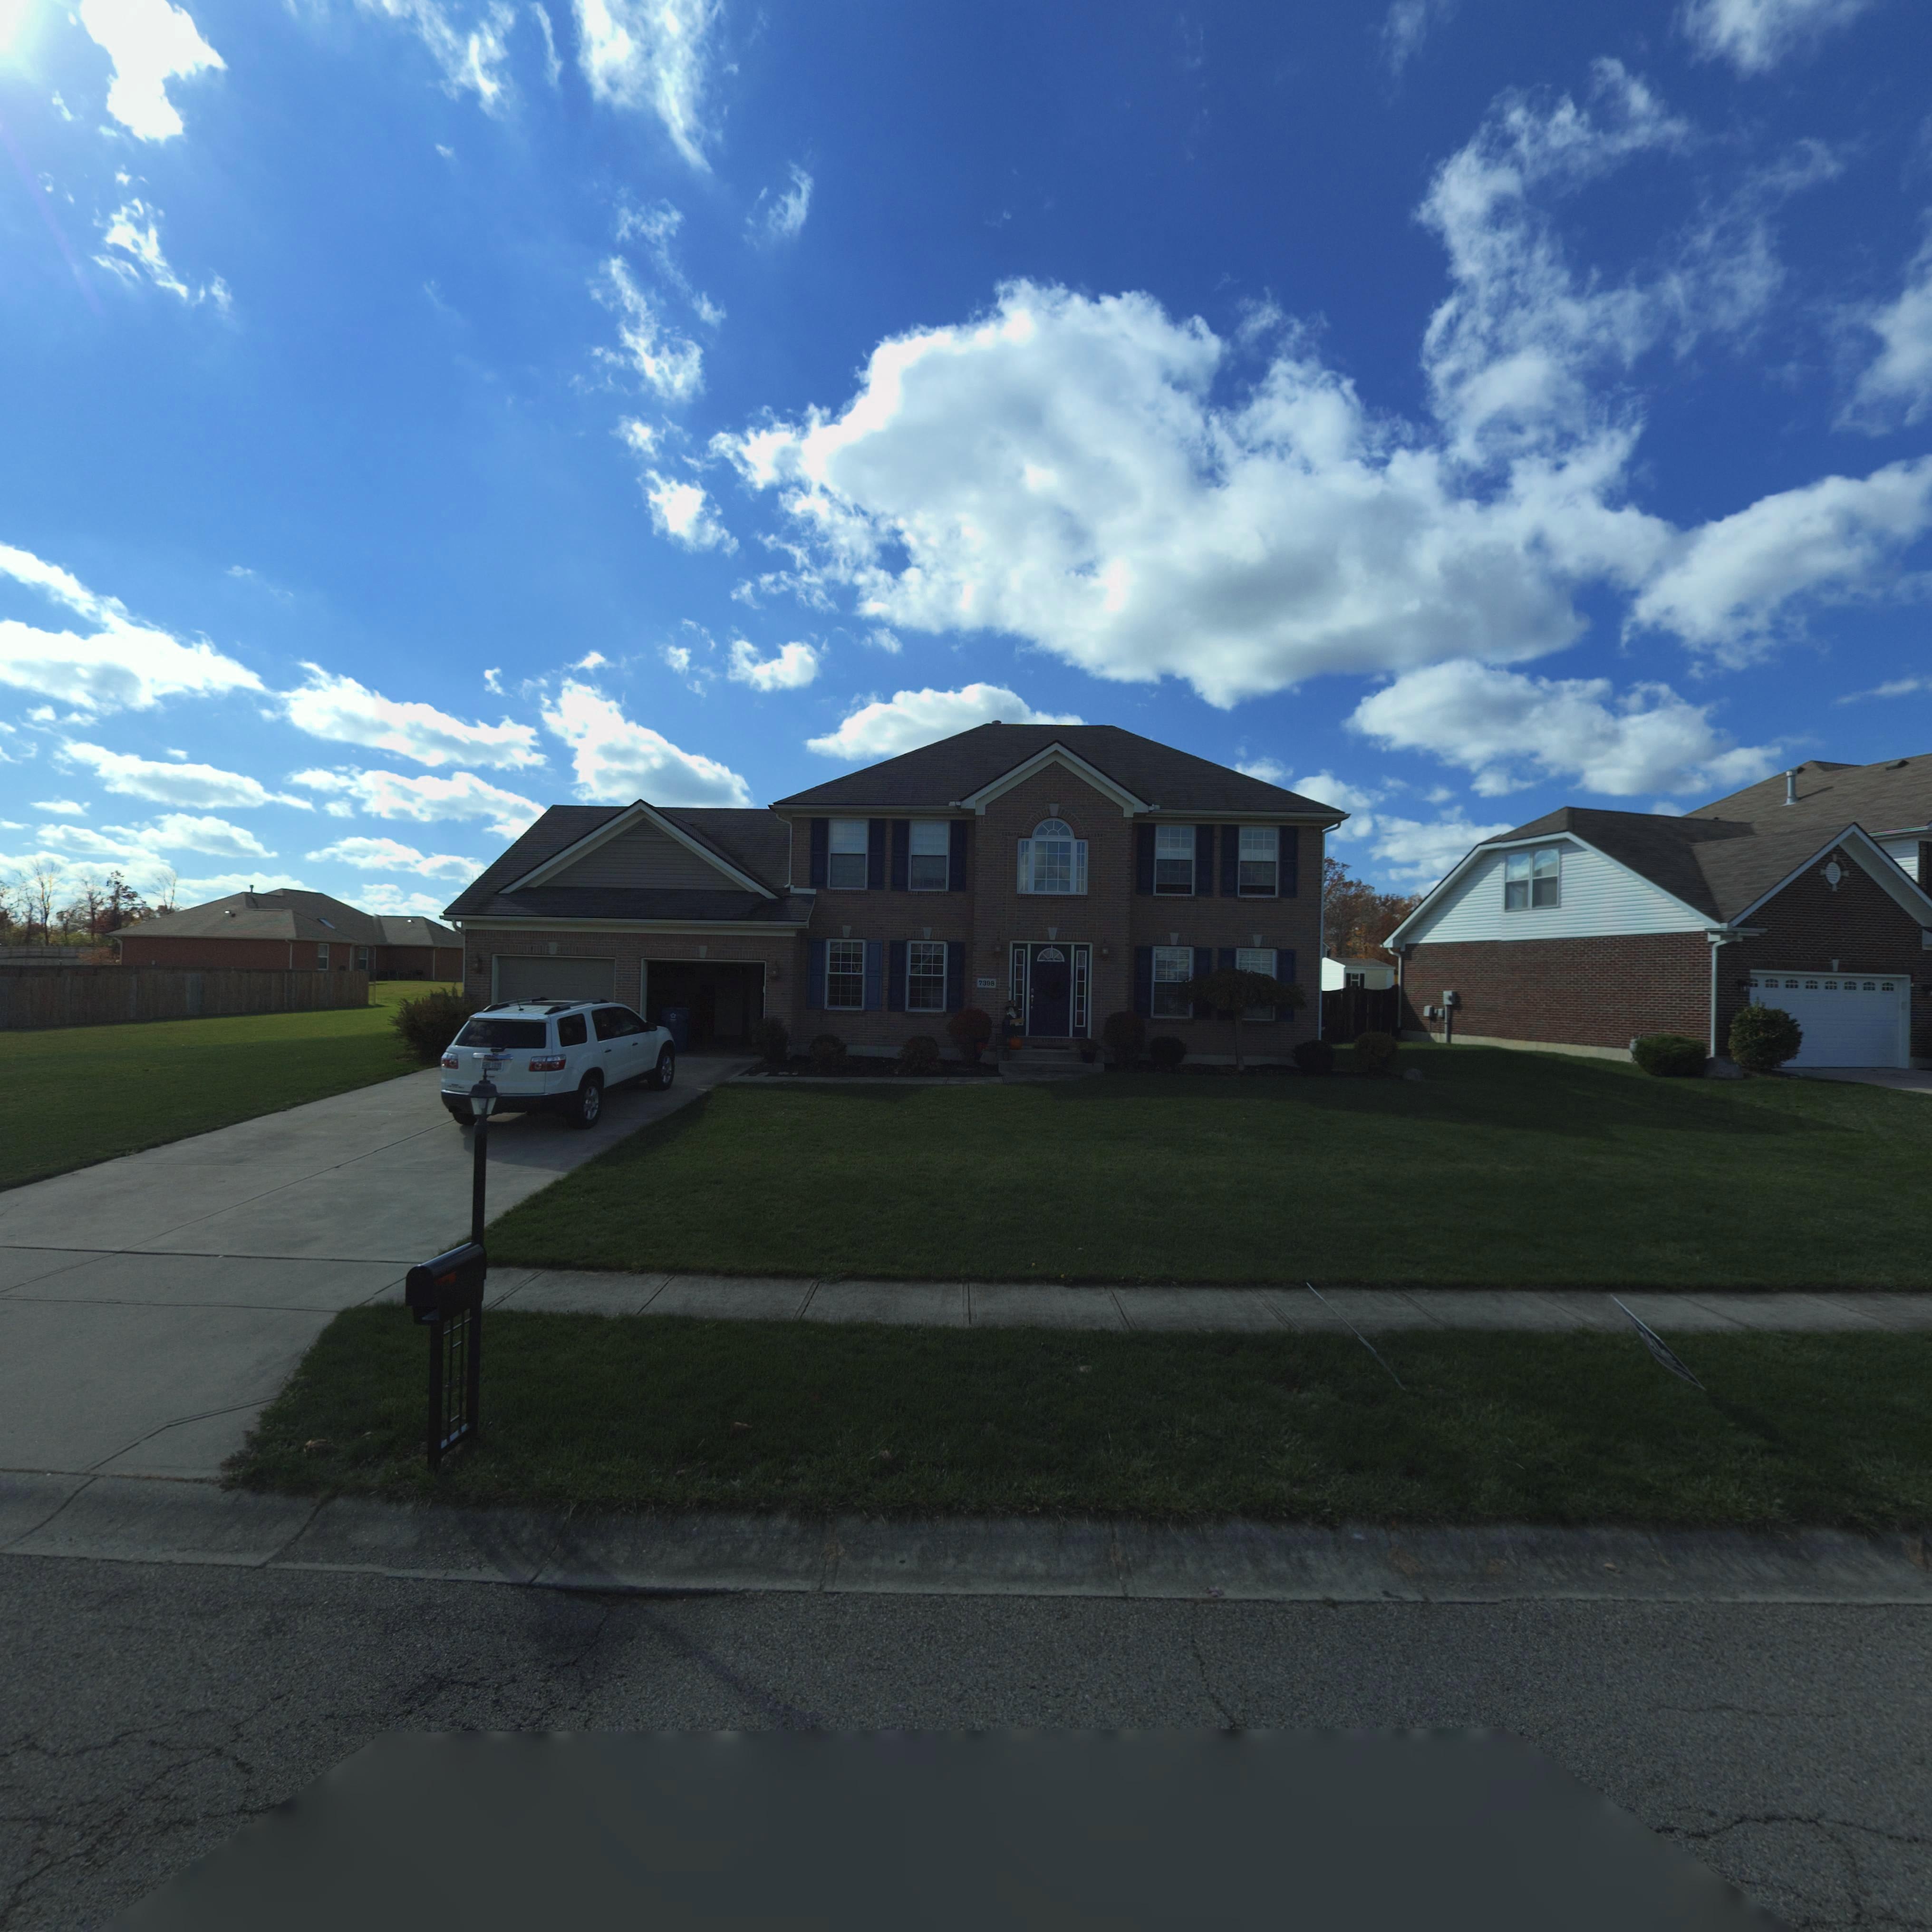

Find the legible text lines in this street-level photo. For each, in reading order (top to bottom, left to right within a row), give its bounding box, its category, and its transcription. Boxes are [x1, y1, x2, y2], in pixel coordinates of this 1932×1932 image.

[978, 980, 995, 987] StreetNumber: 7398